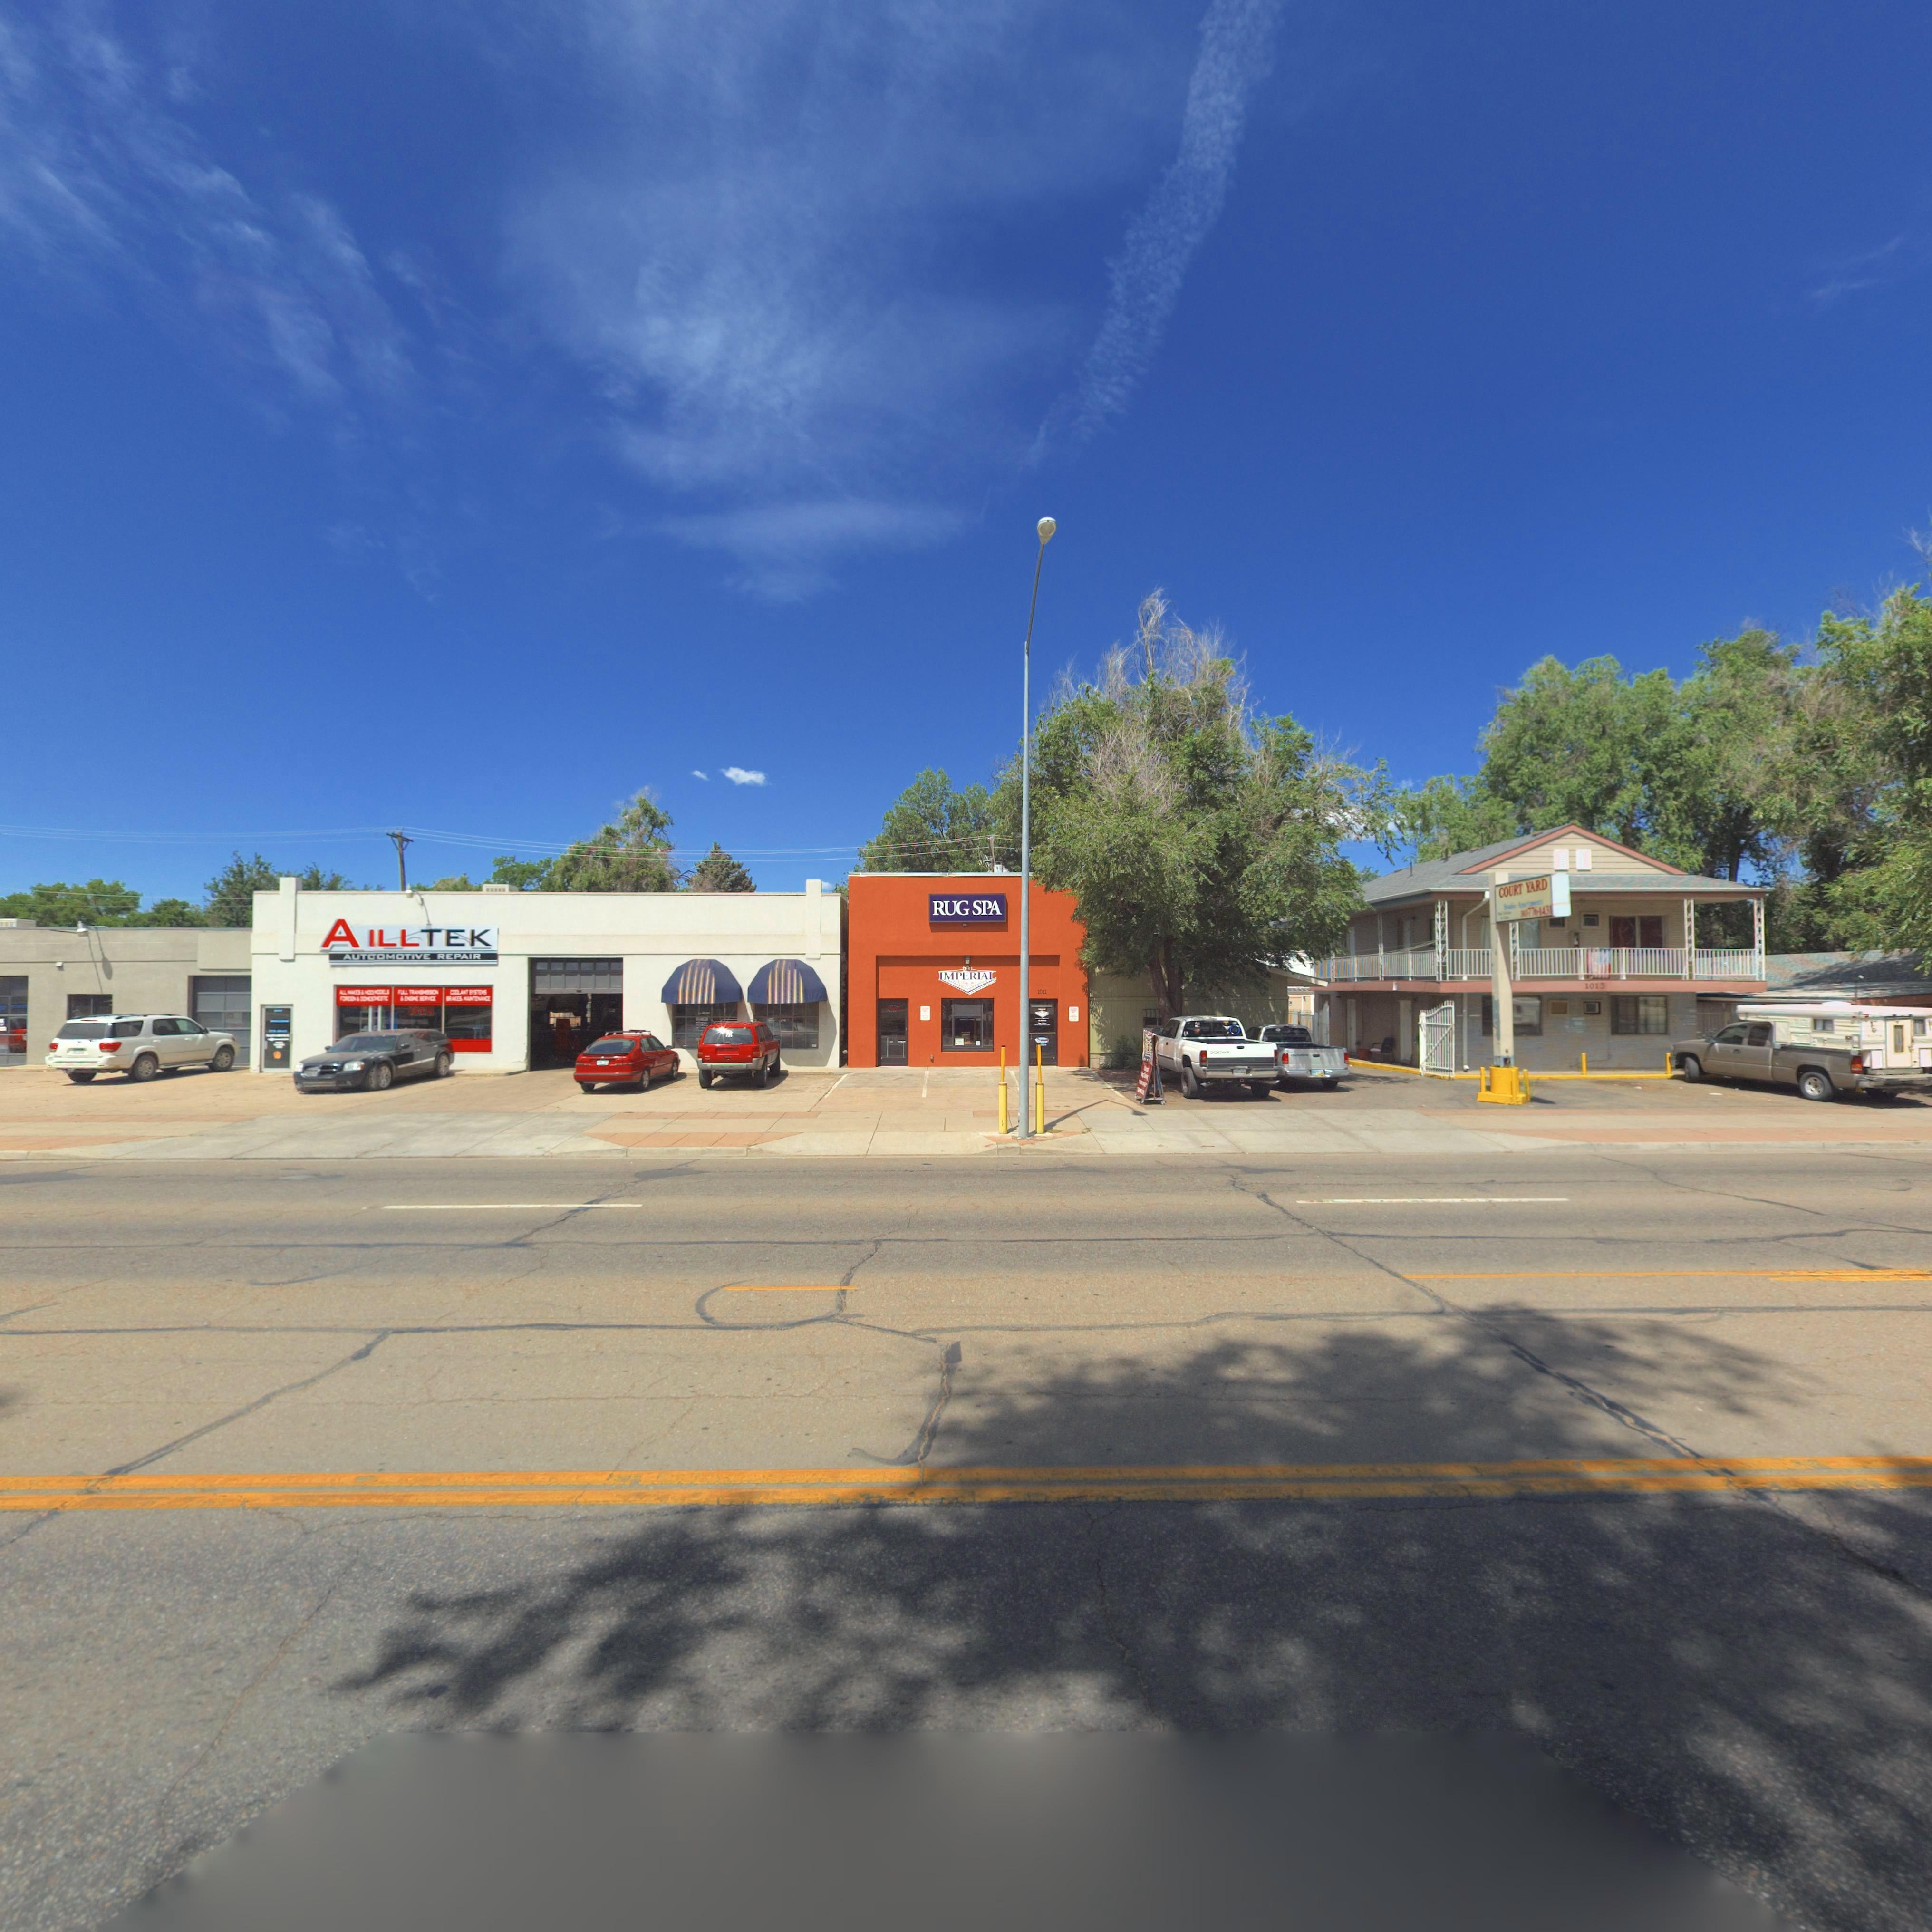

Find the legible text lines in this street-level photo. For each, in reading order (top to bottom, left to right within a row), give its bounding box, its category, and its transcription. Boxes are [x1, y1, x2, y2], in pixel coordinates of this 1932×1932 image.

[1498, 878, 1547, 898] BusinessName: COURT YARD
[932, 899, 1003, 915] BusinessName: RUG SPA
[319, 918, 493, 948] BusinessName: A*LLTEK
[939, 972, 996, 980] BusinessName: IMPERIAL
[1037, 989, 1046, 995] StreetNumber: 1011
[1584, 982, 1605, 989] StreetNumber: 1013